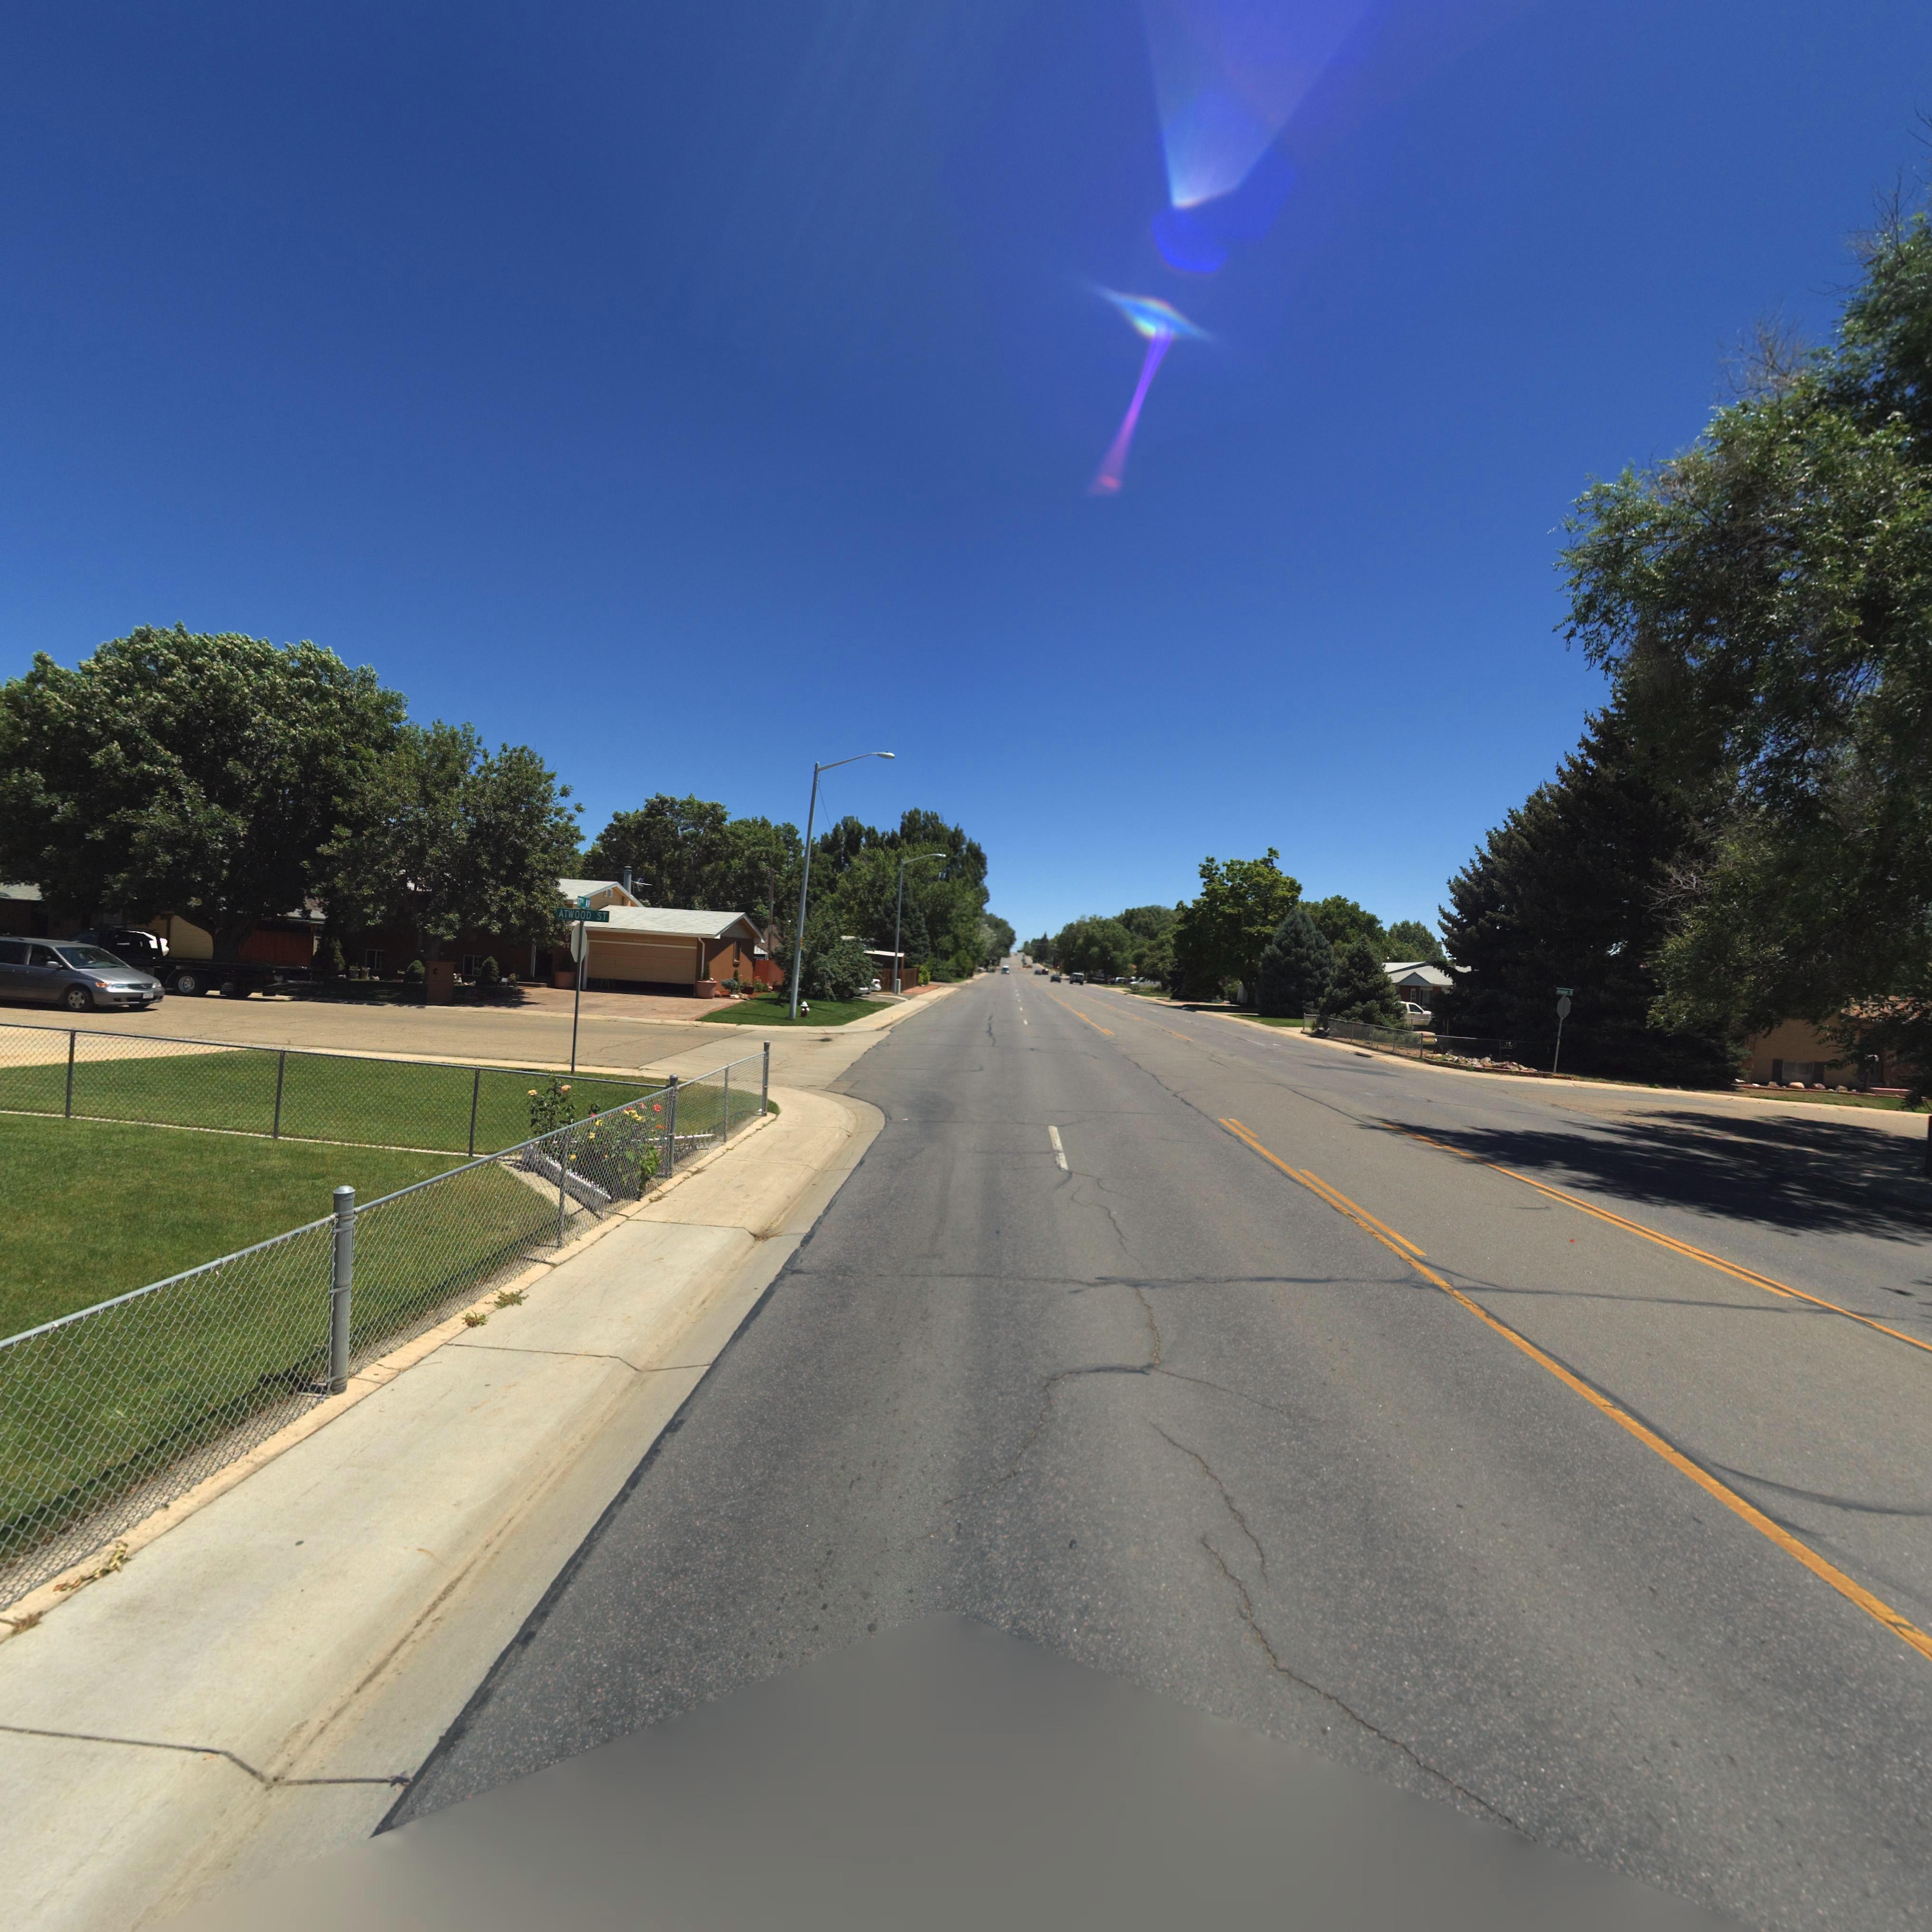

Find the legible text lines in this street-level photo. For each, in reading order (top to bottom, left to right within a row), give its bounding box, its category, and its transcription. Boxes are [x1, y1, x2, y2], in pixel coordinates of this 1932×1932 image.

[577, 897, 590, 908] StreetName: 17TH AV
[558, 909, 608, 920] StreetName: ATWOOD ST
[563, 943, 570, 947] StreetNumber: 17